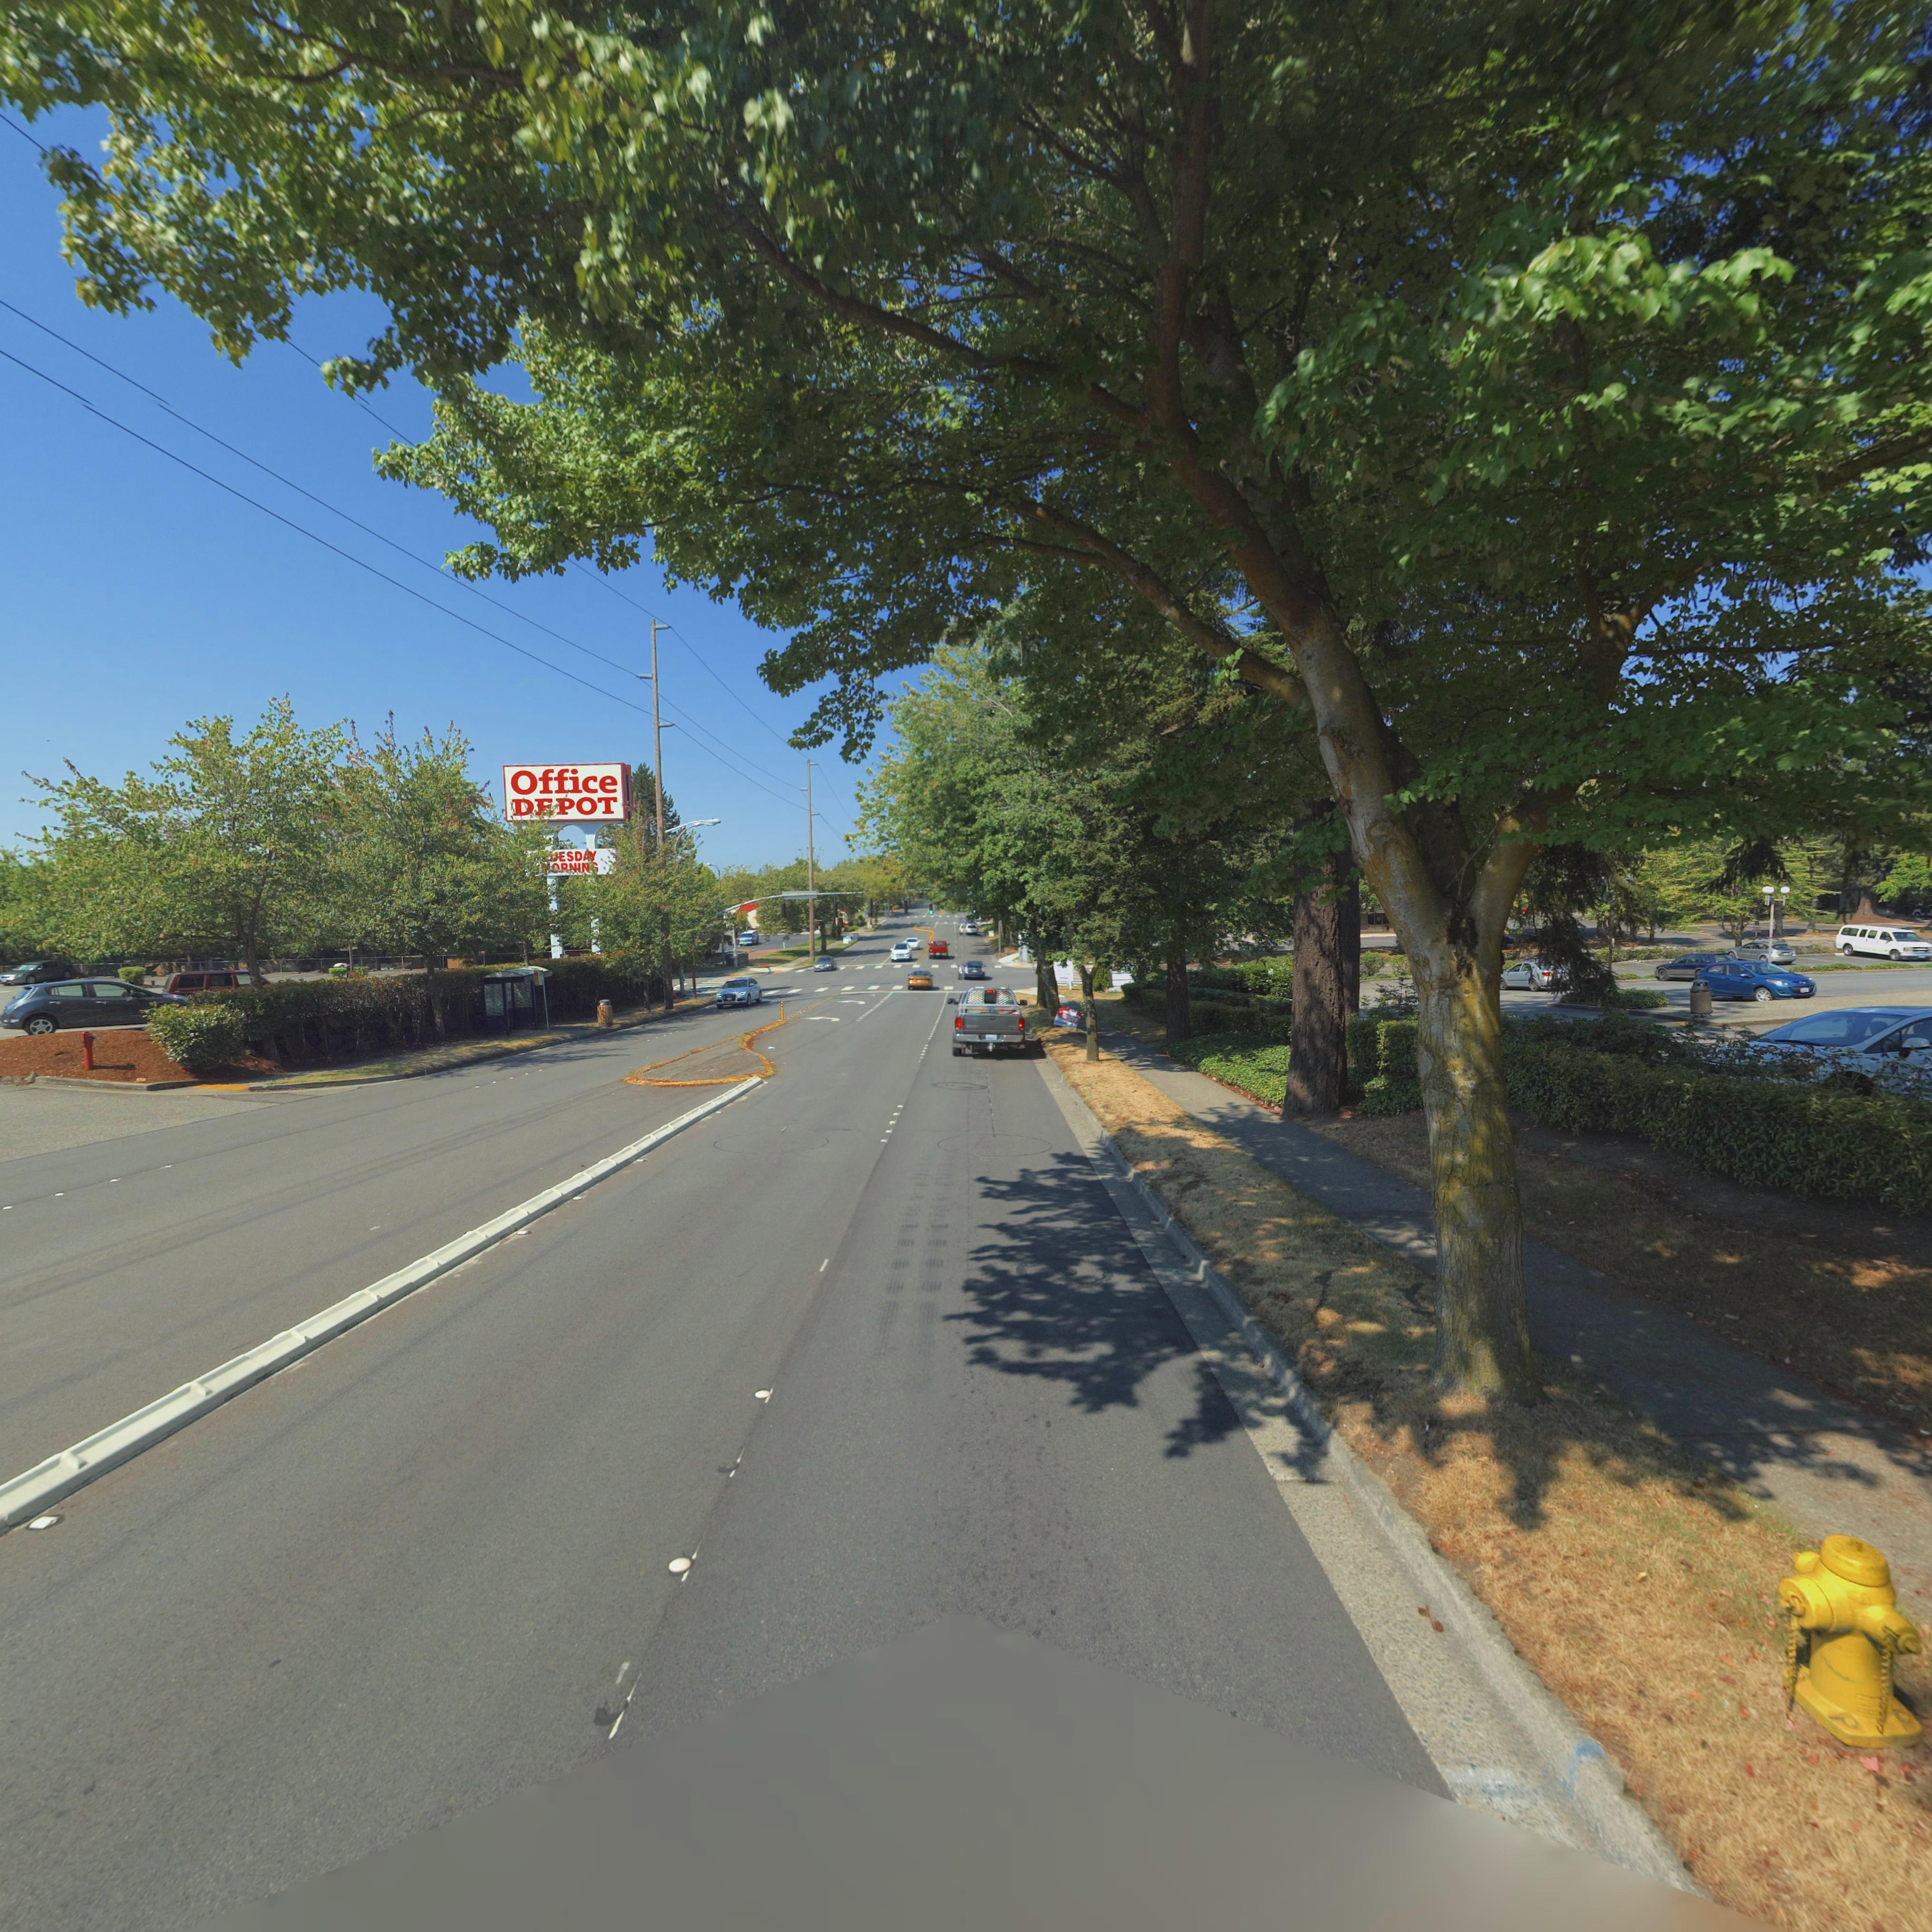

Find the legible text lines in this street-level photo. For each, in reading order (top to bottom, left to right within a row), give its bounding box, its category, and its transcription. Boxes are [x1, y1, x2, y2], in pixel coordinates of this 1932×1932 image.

[511, 768, 617, 794] BusinessName: Office
[511, 797, 617, 818] BusinessName: D*POT